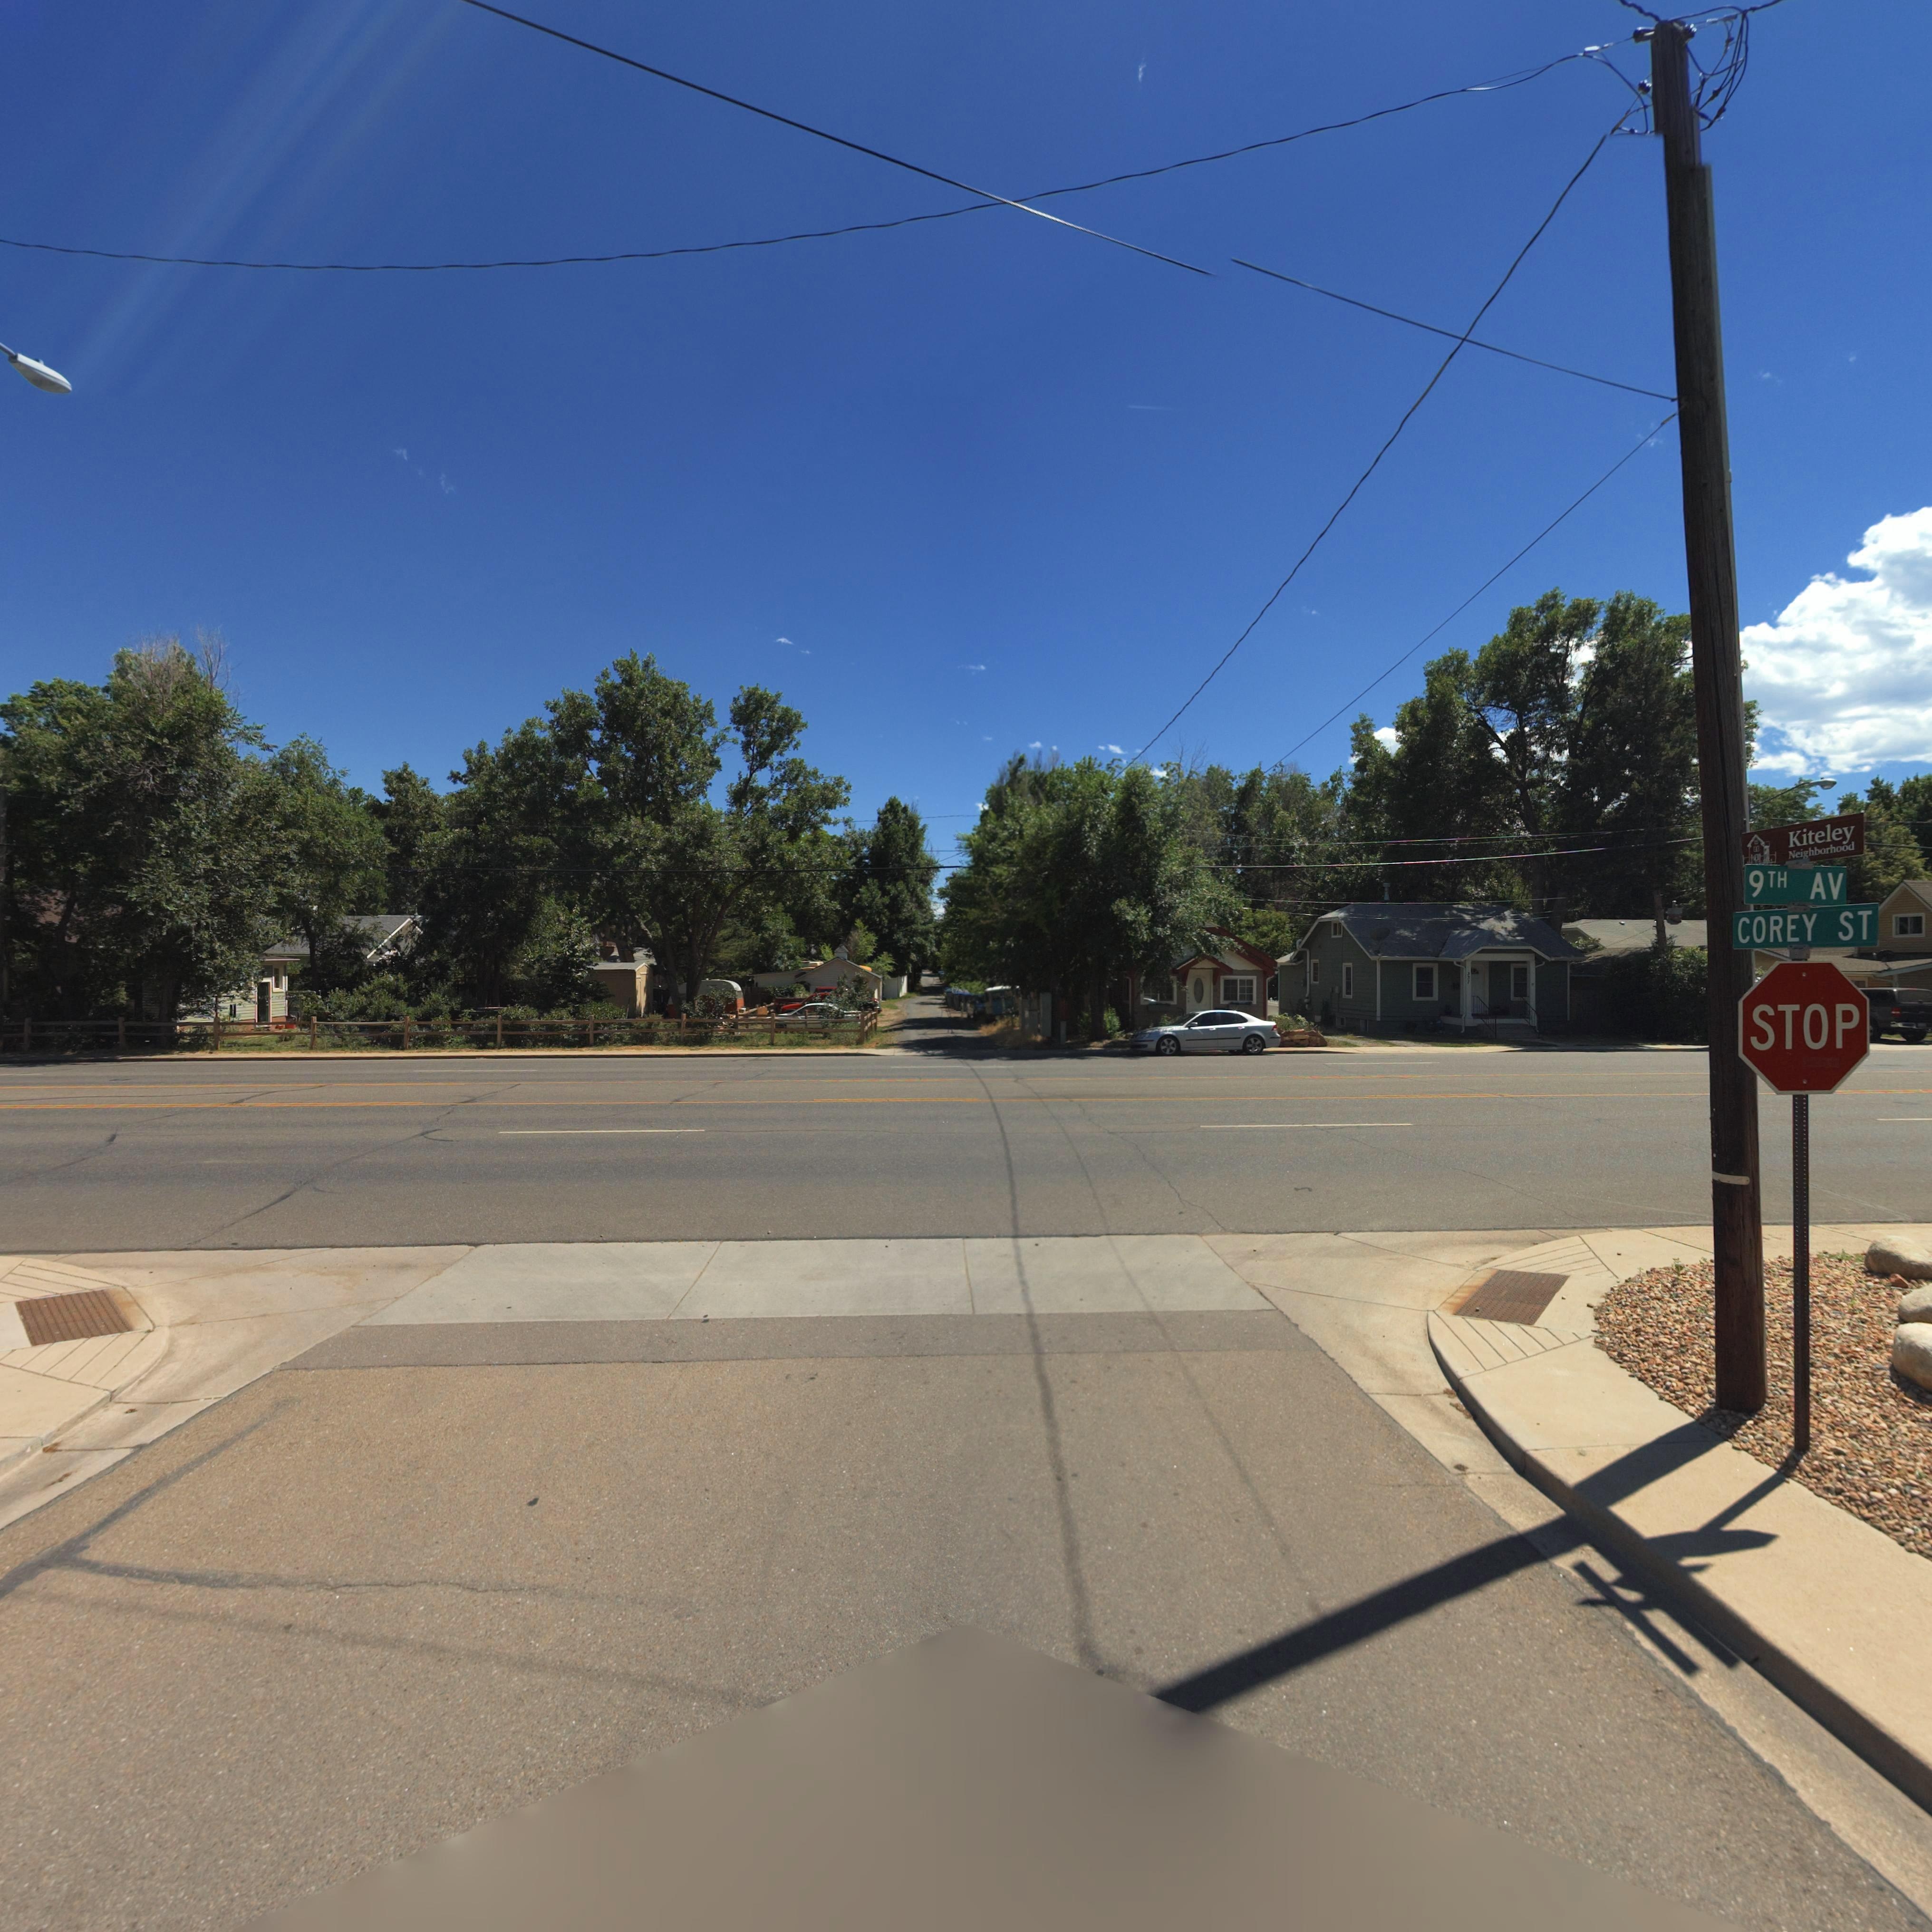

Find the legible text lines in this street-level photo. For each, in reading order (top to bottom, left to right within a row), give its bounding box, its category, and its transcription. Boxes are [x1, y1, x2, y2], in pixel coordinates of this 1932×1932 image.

[1748, 869, 1844, 900] StreetName: 9TH AV
[1737, 910, 1872, 944] StreetName: COREY ST